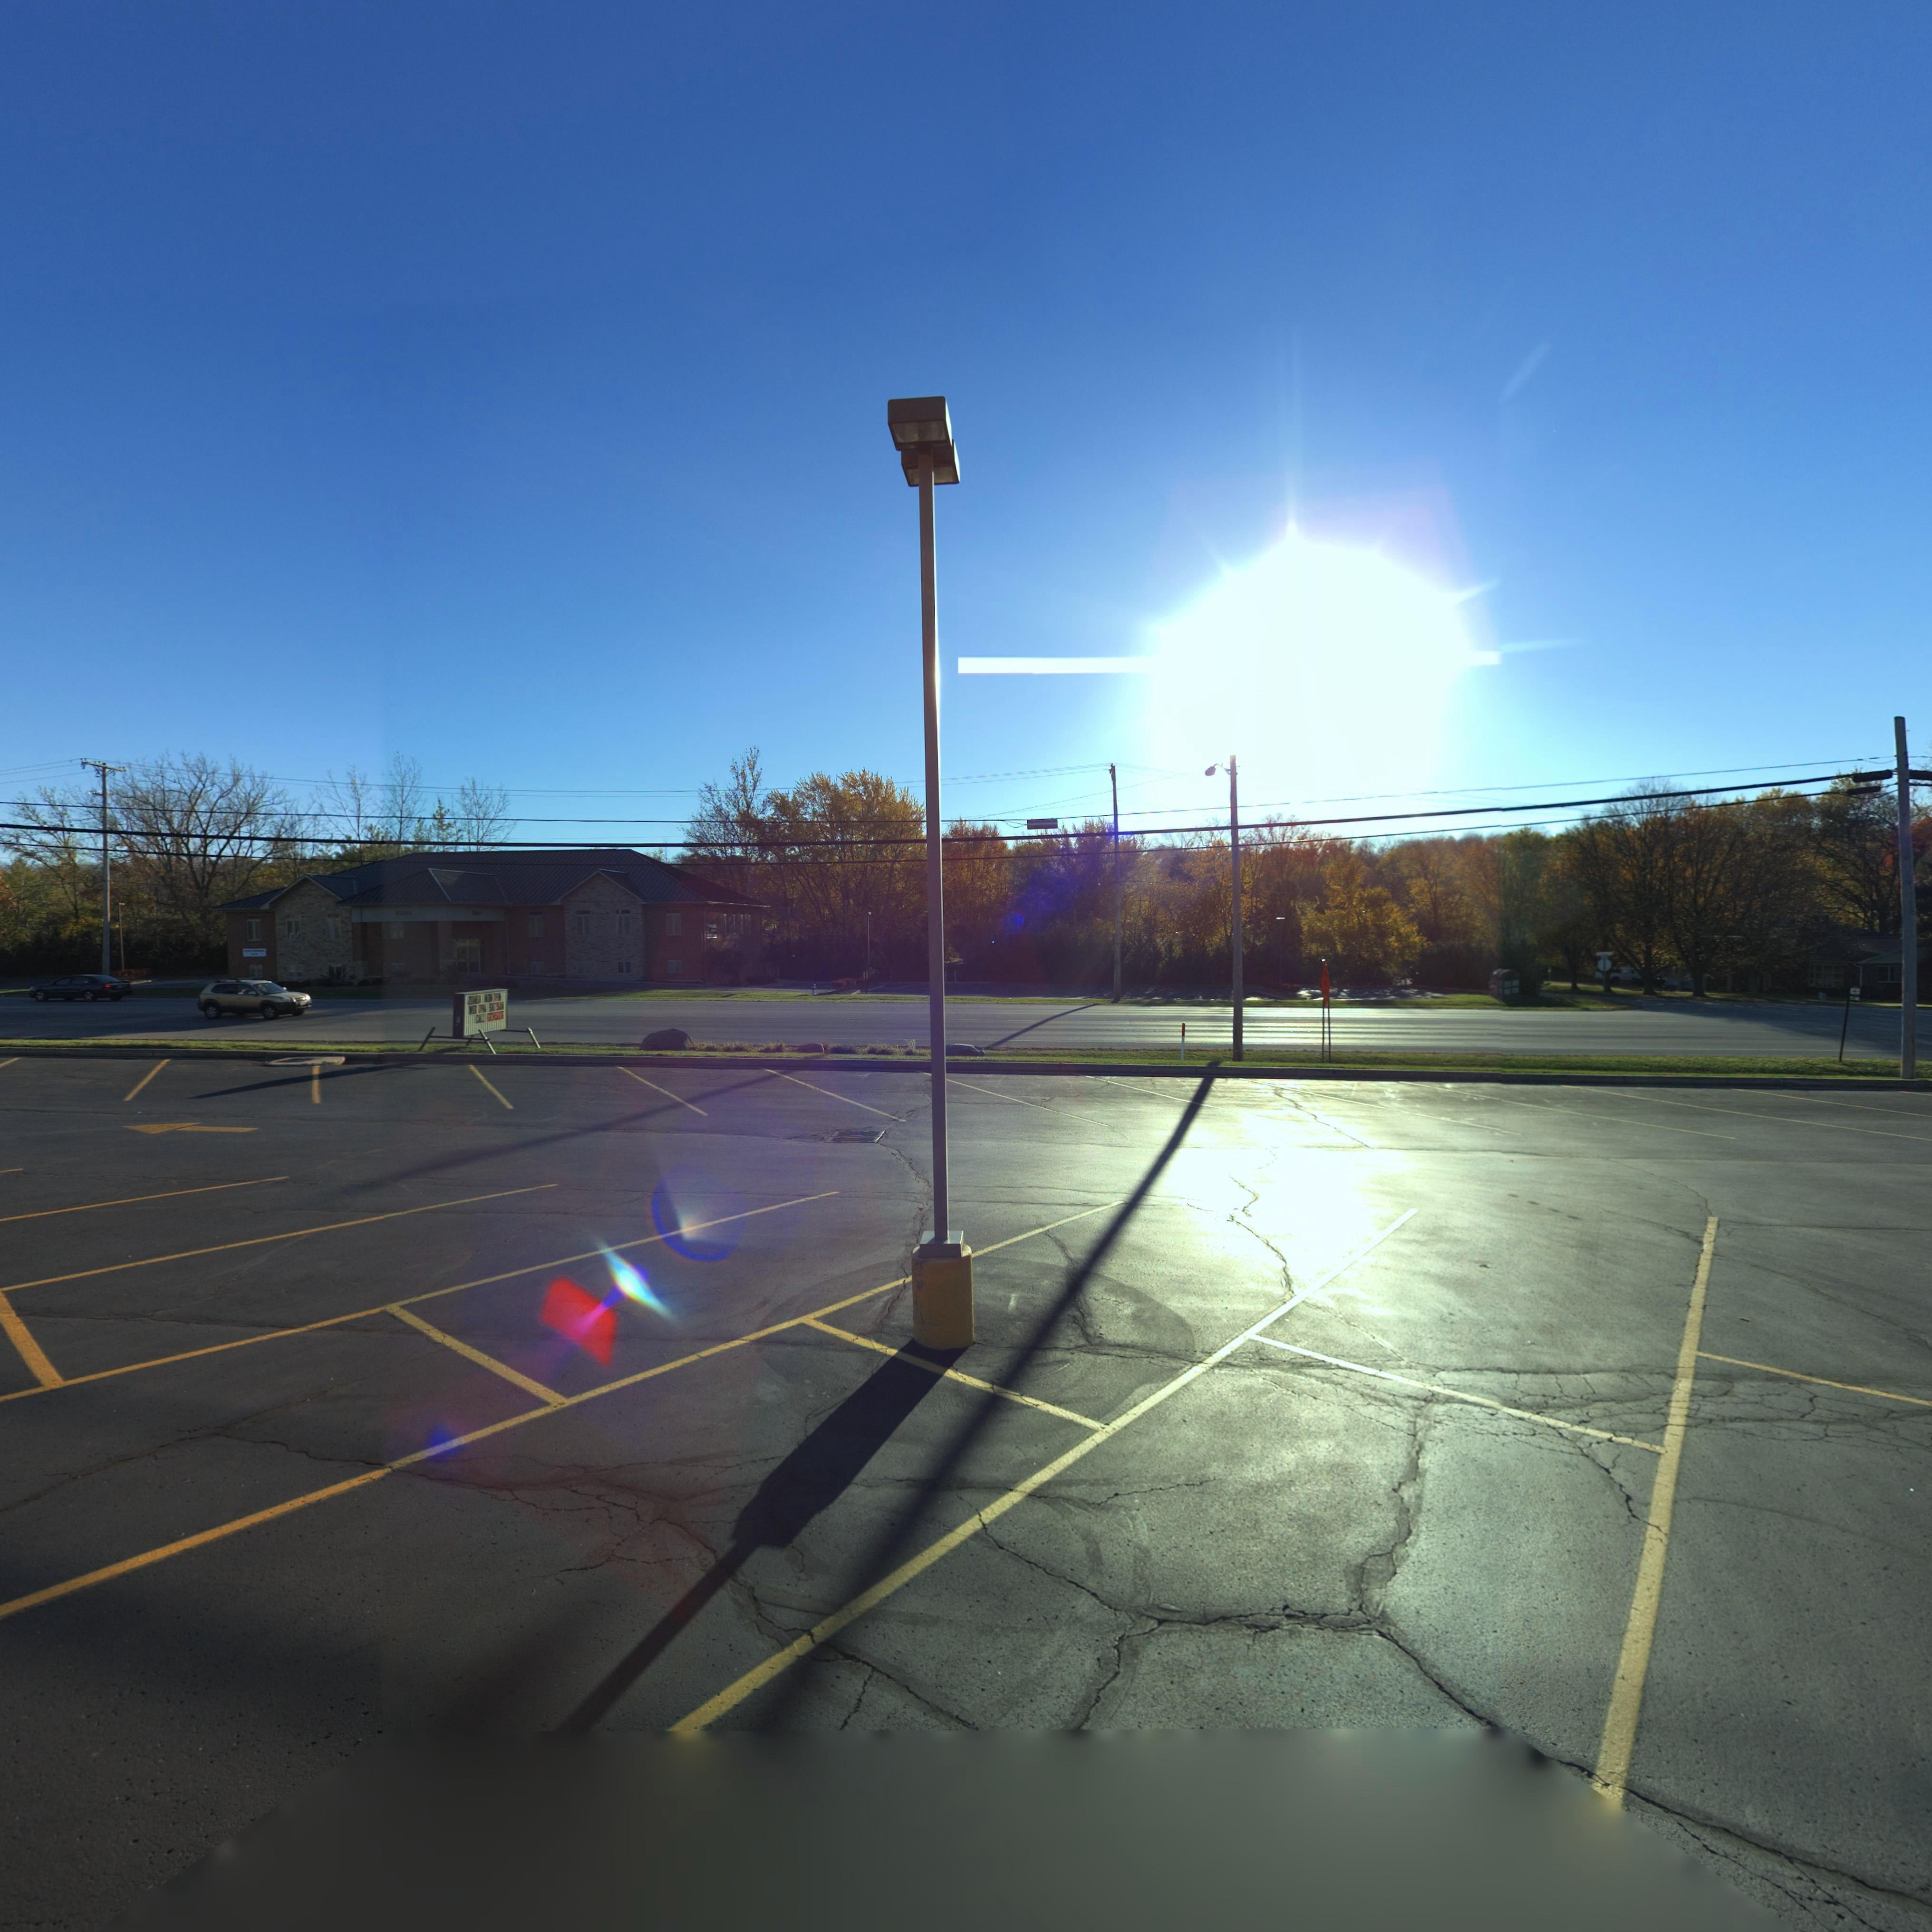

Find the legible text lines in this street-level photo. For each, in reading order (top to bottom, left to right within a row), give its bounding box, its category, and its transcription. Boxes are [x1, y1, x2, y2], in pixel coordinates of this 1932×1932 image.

[396, 910, 412, 916] StreetNumber: 9001